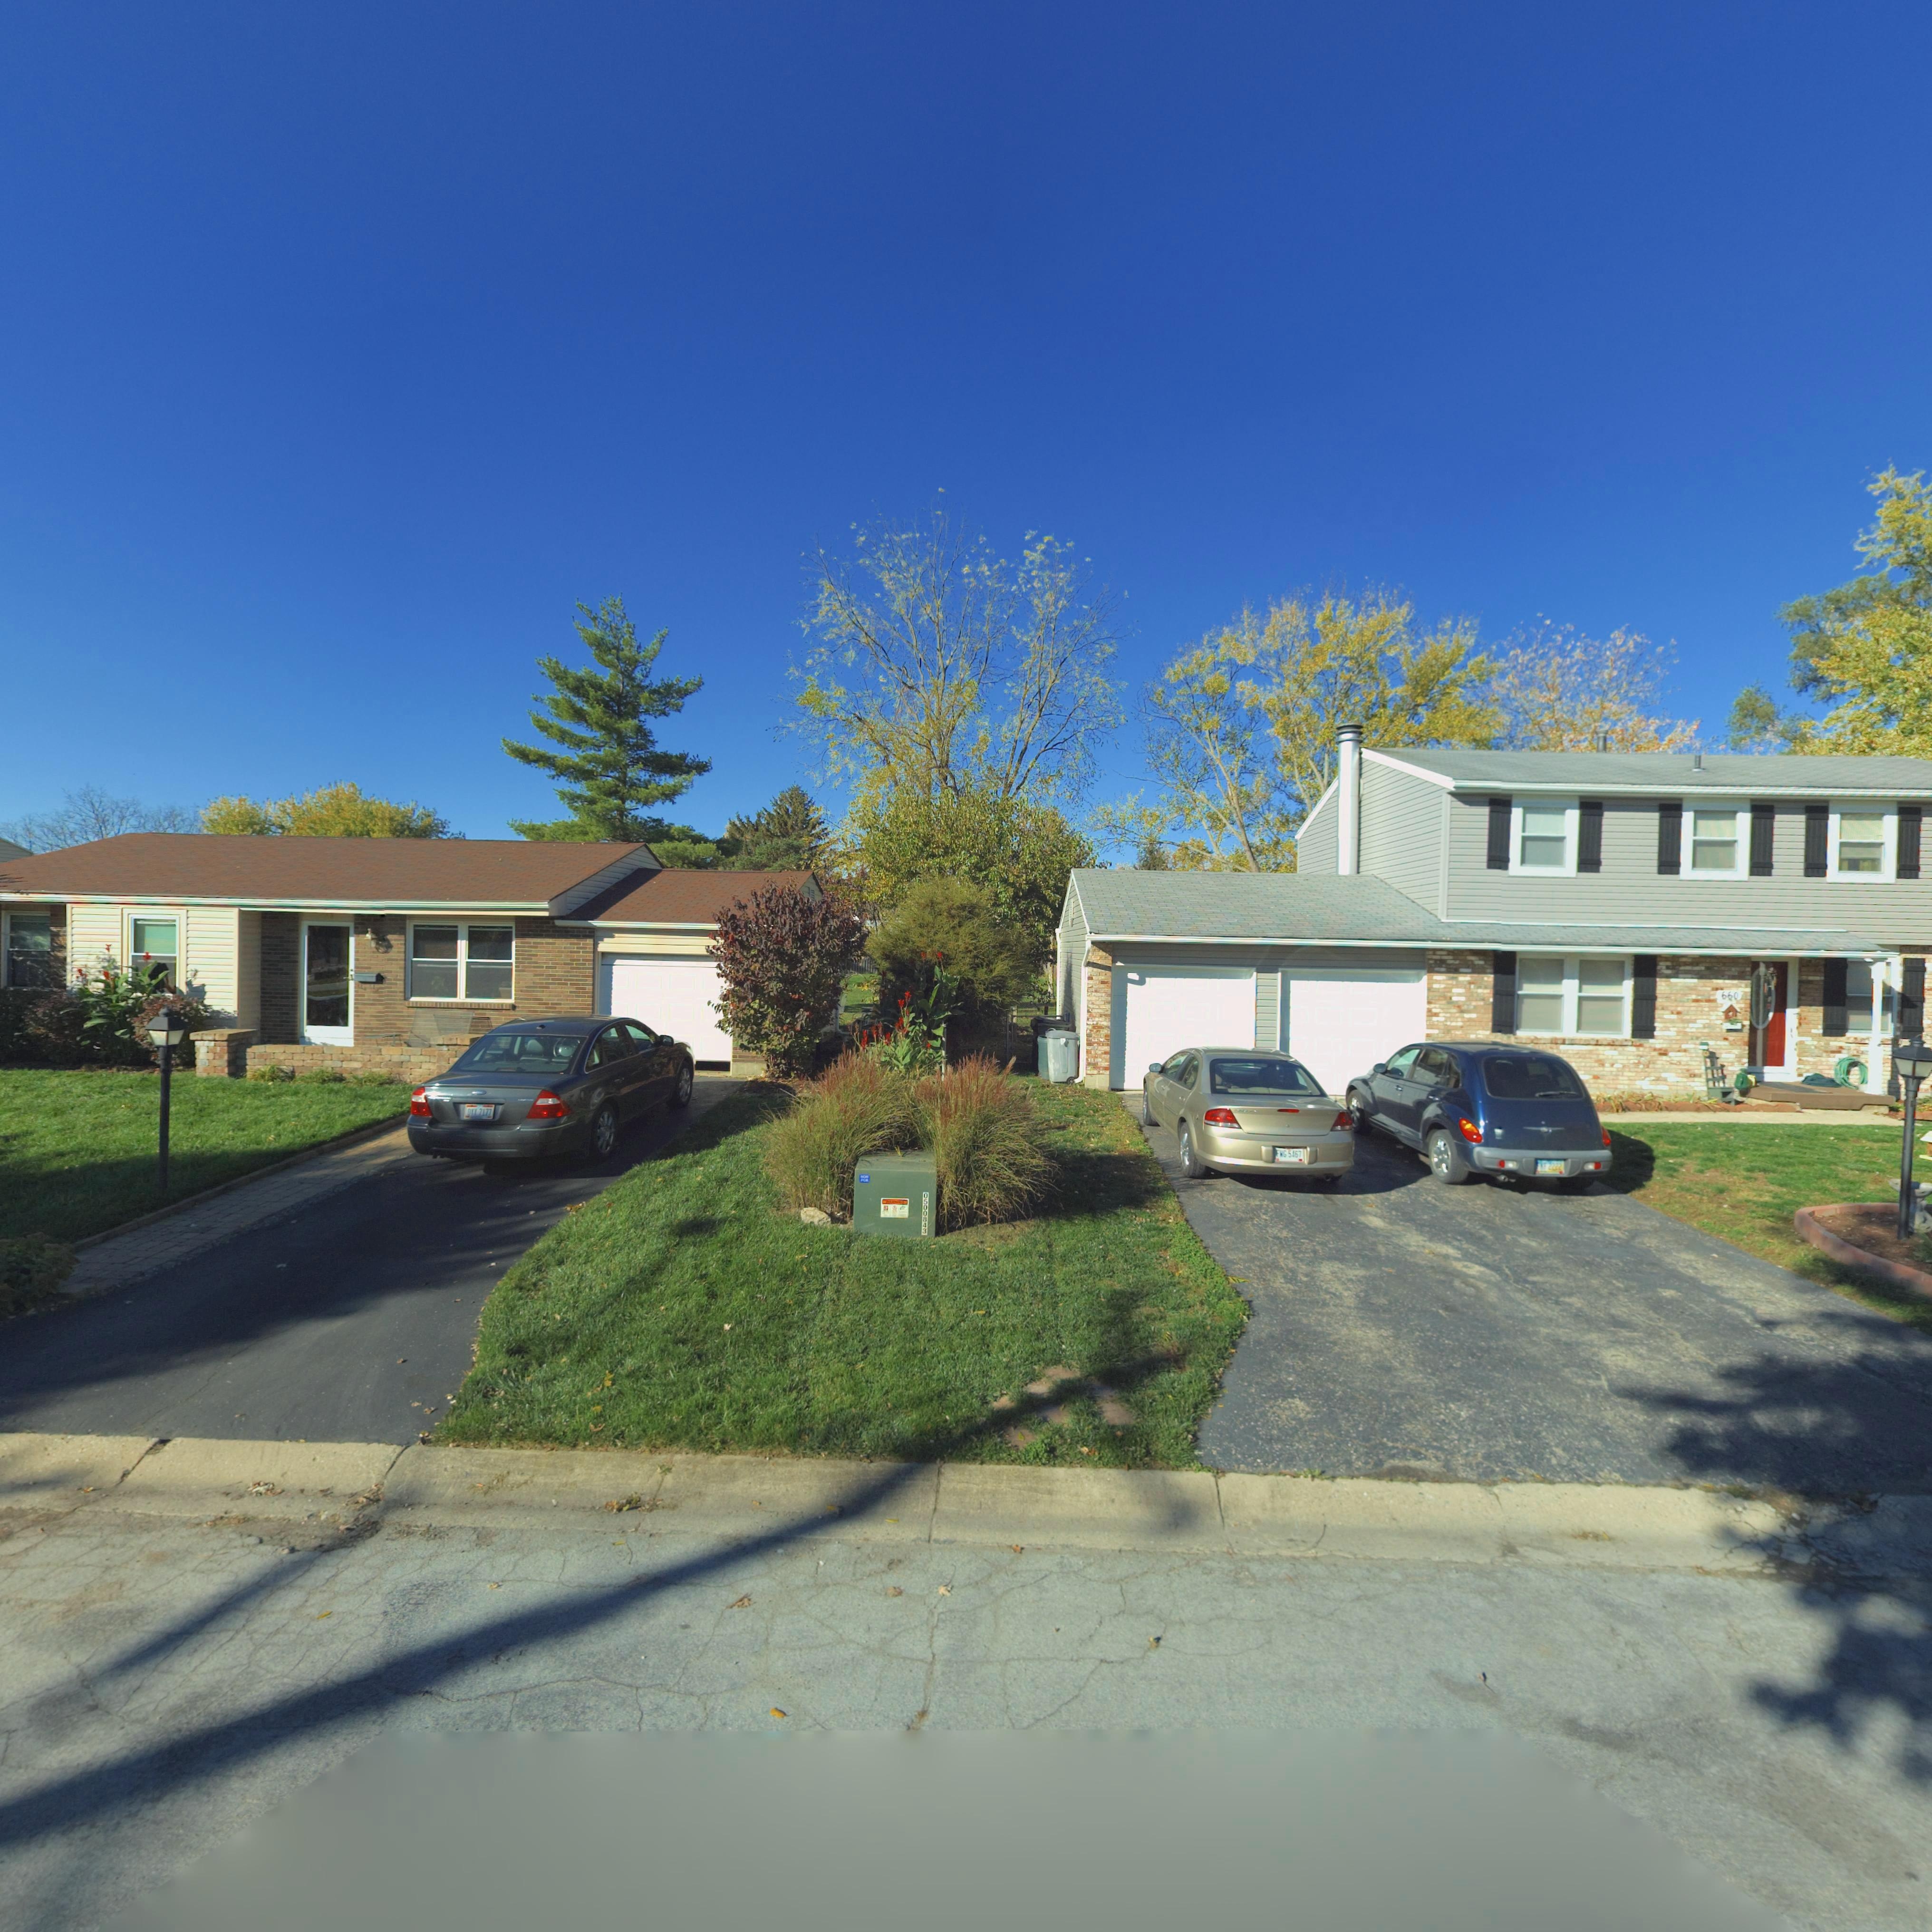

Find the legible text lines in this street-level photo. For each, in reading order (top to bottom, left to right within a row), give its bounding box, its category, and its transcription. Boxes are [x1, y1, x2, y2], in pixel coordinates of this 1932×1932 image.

[1721, 991, 1739, 1000] StreetNumber: 660